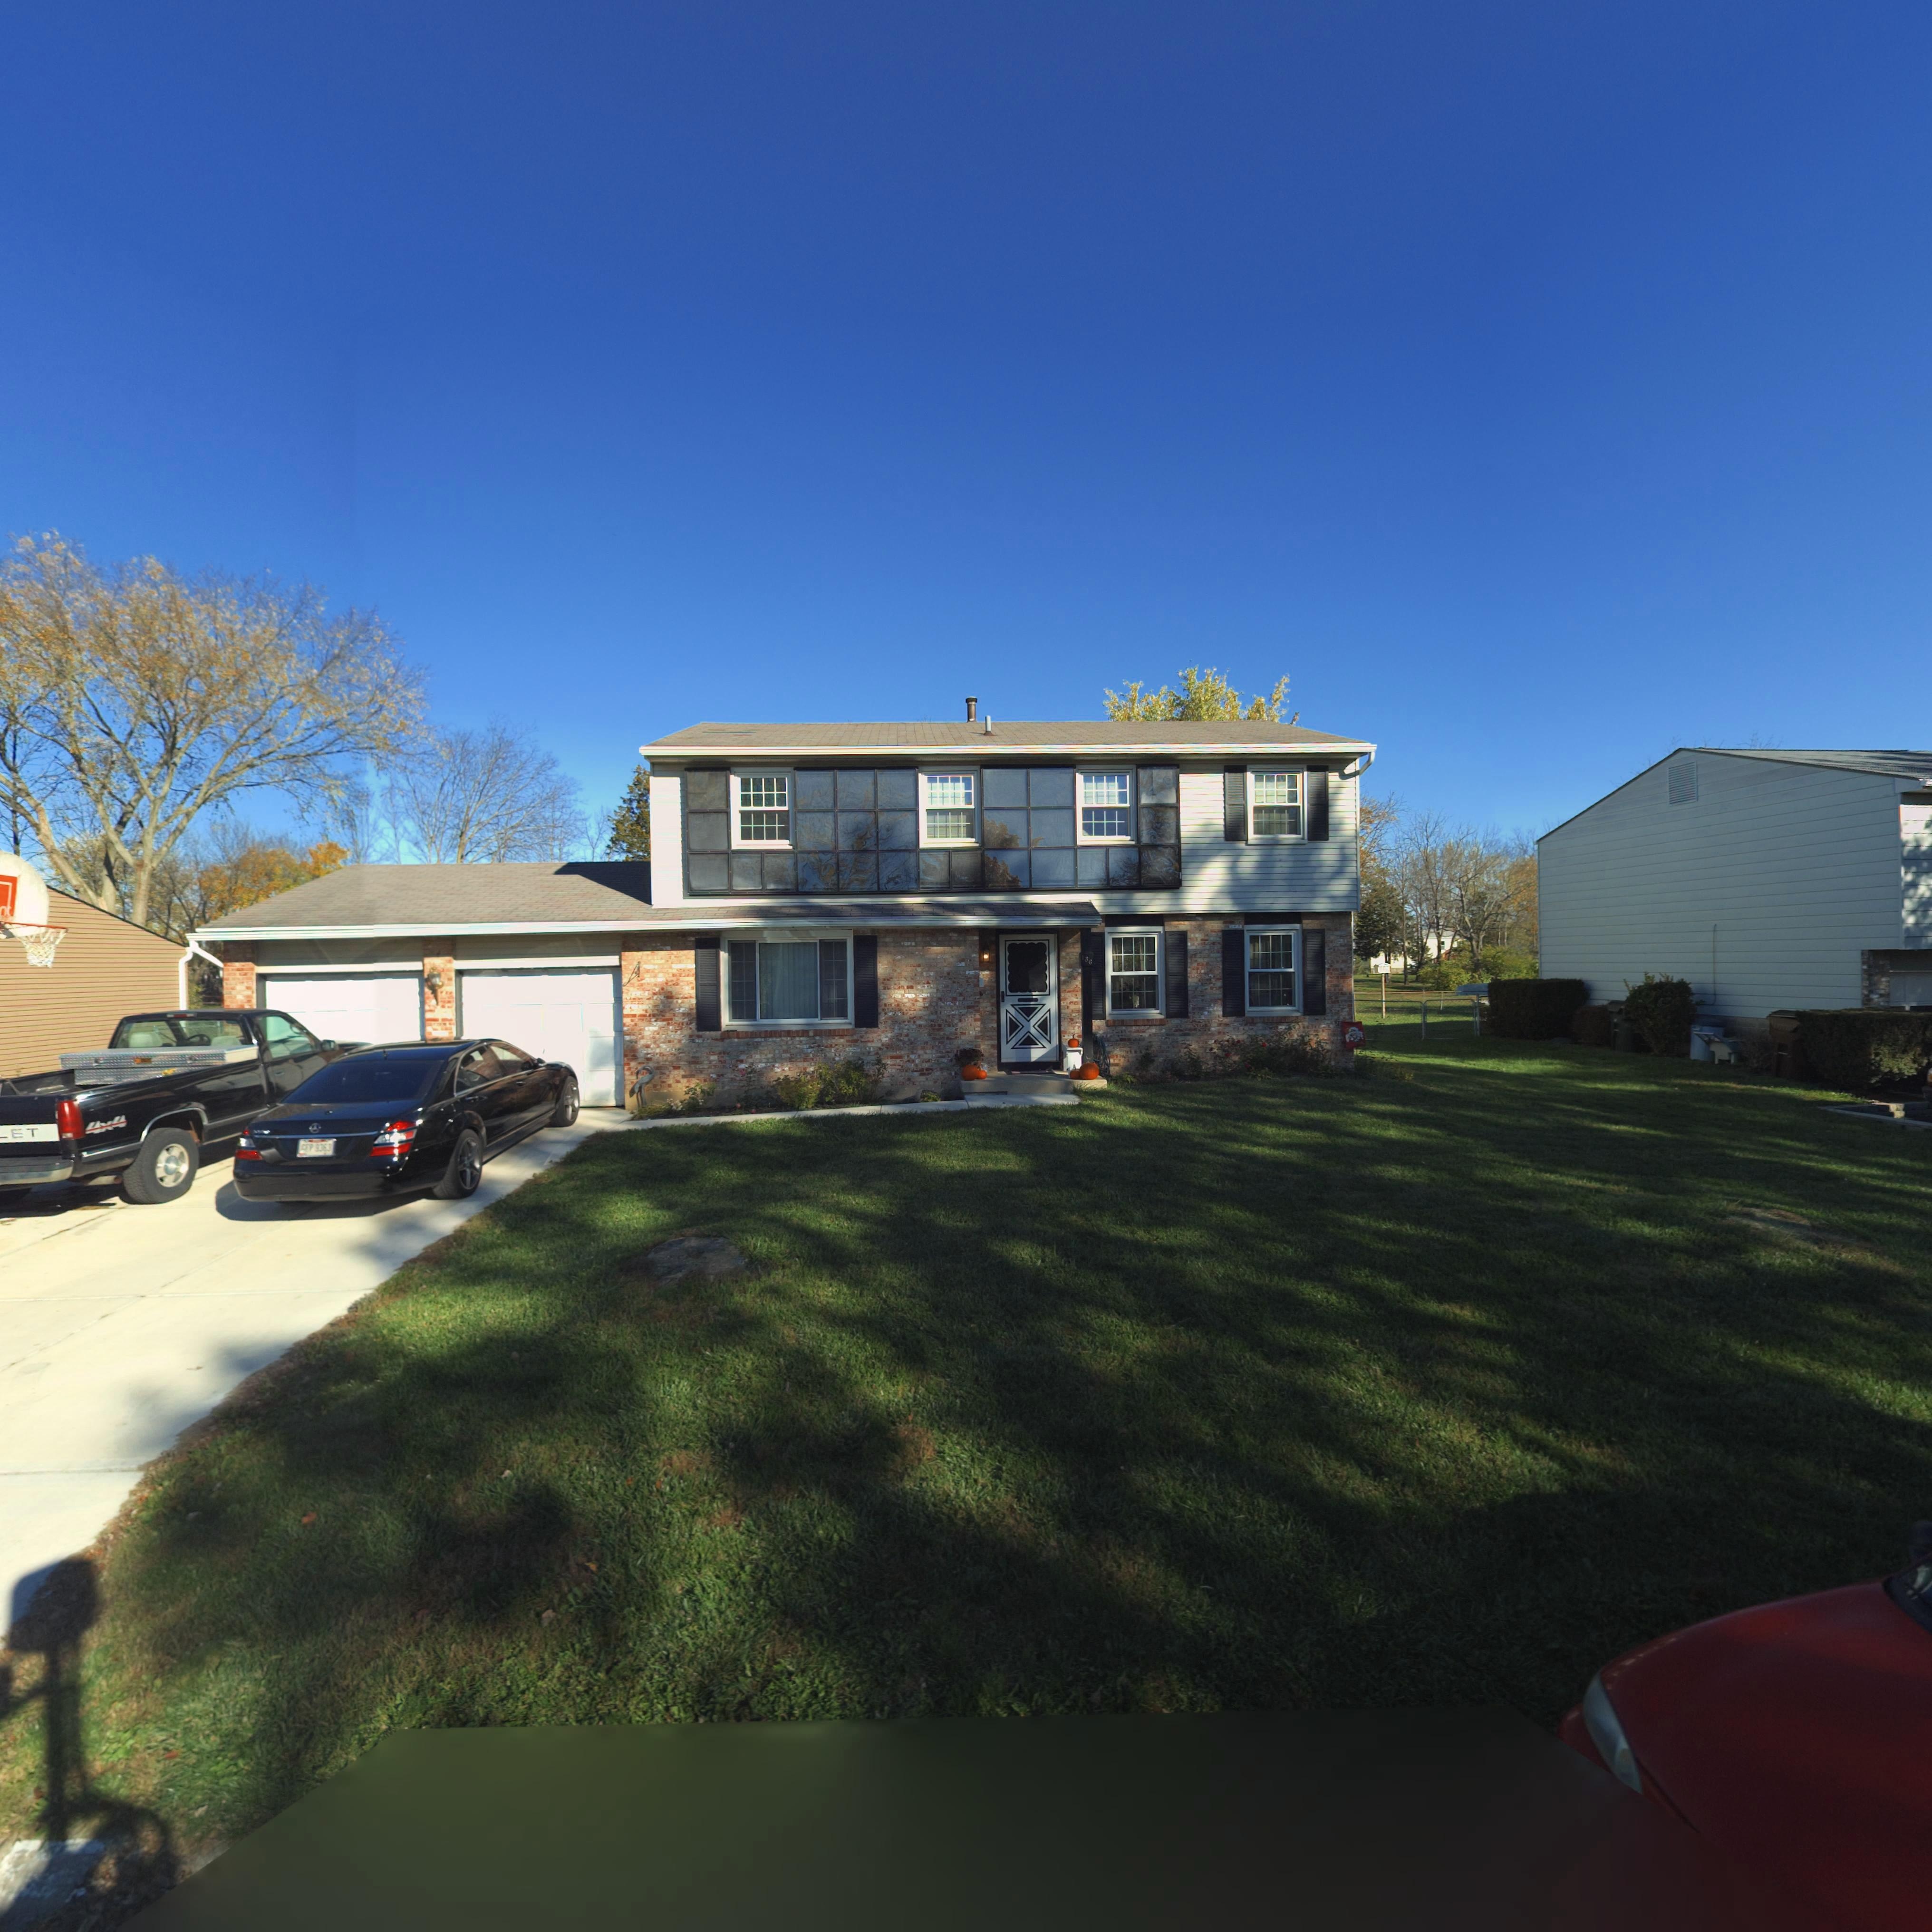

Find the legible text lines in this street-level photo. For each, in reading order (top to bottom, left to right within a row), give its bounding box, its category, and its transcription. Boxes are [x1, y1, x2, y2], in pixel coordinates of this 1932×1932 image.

[1082, 954, 1092, 966] StreetNumber: 136